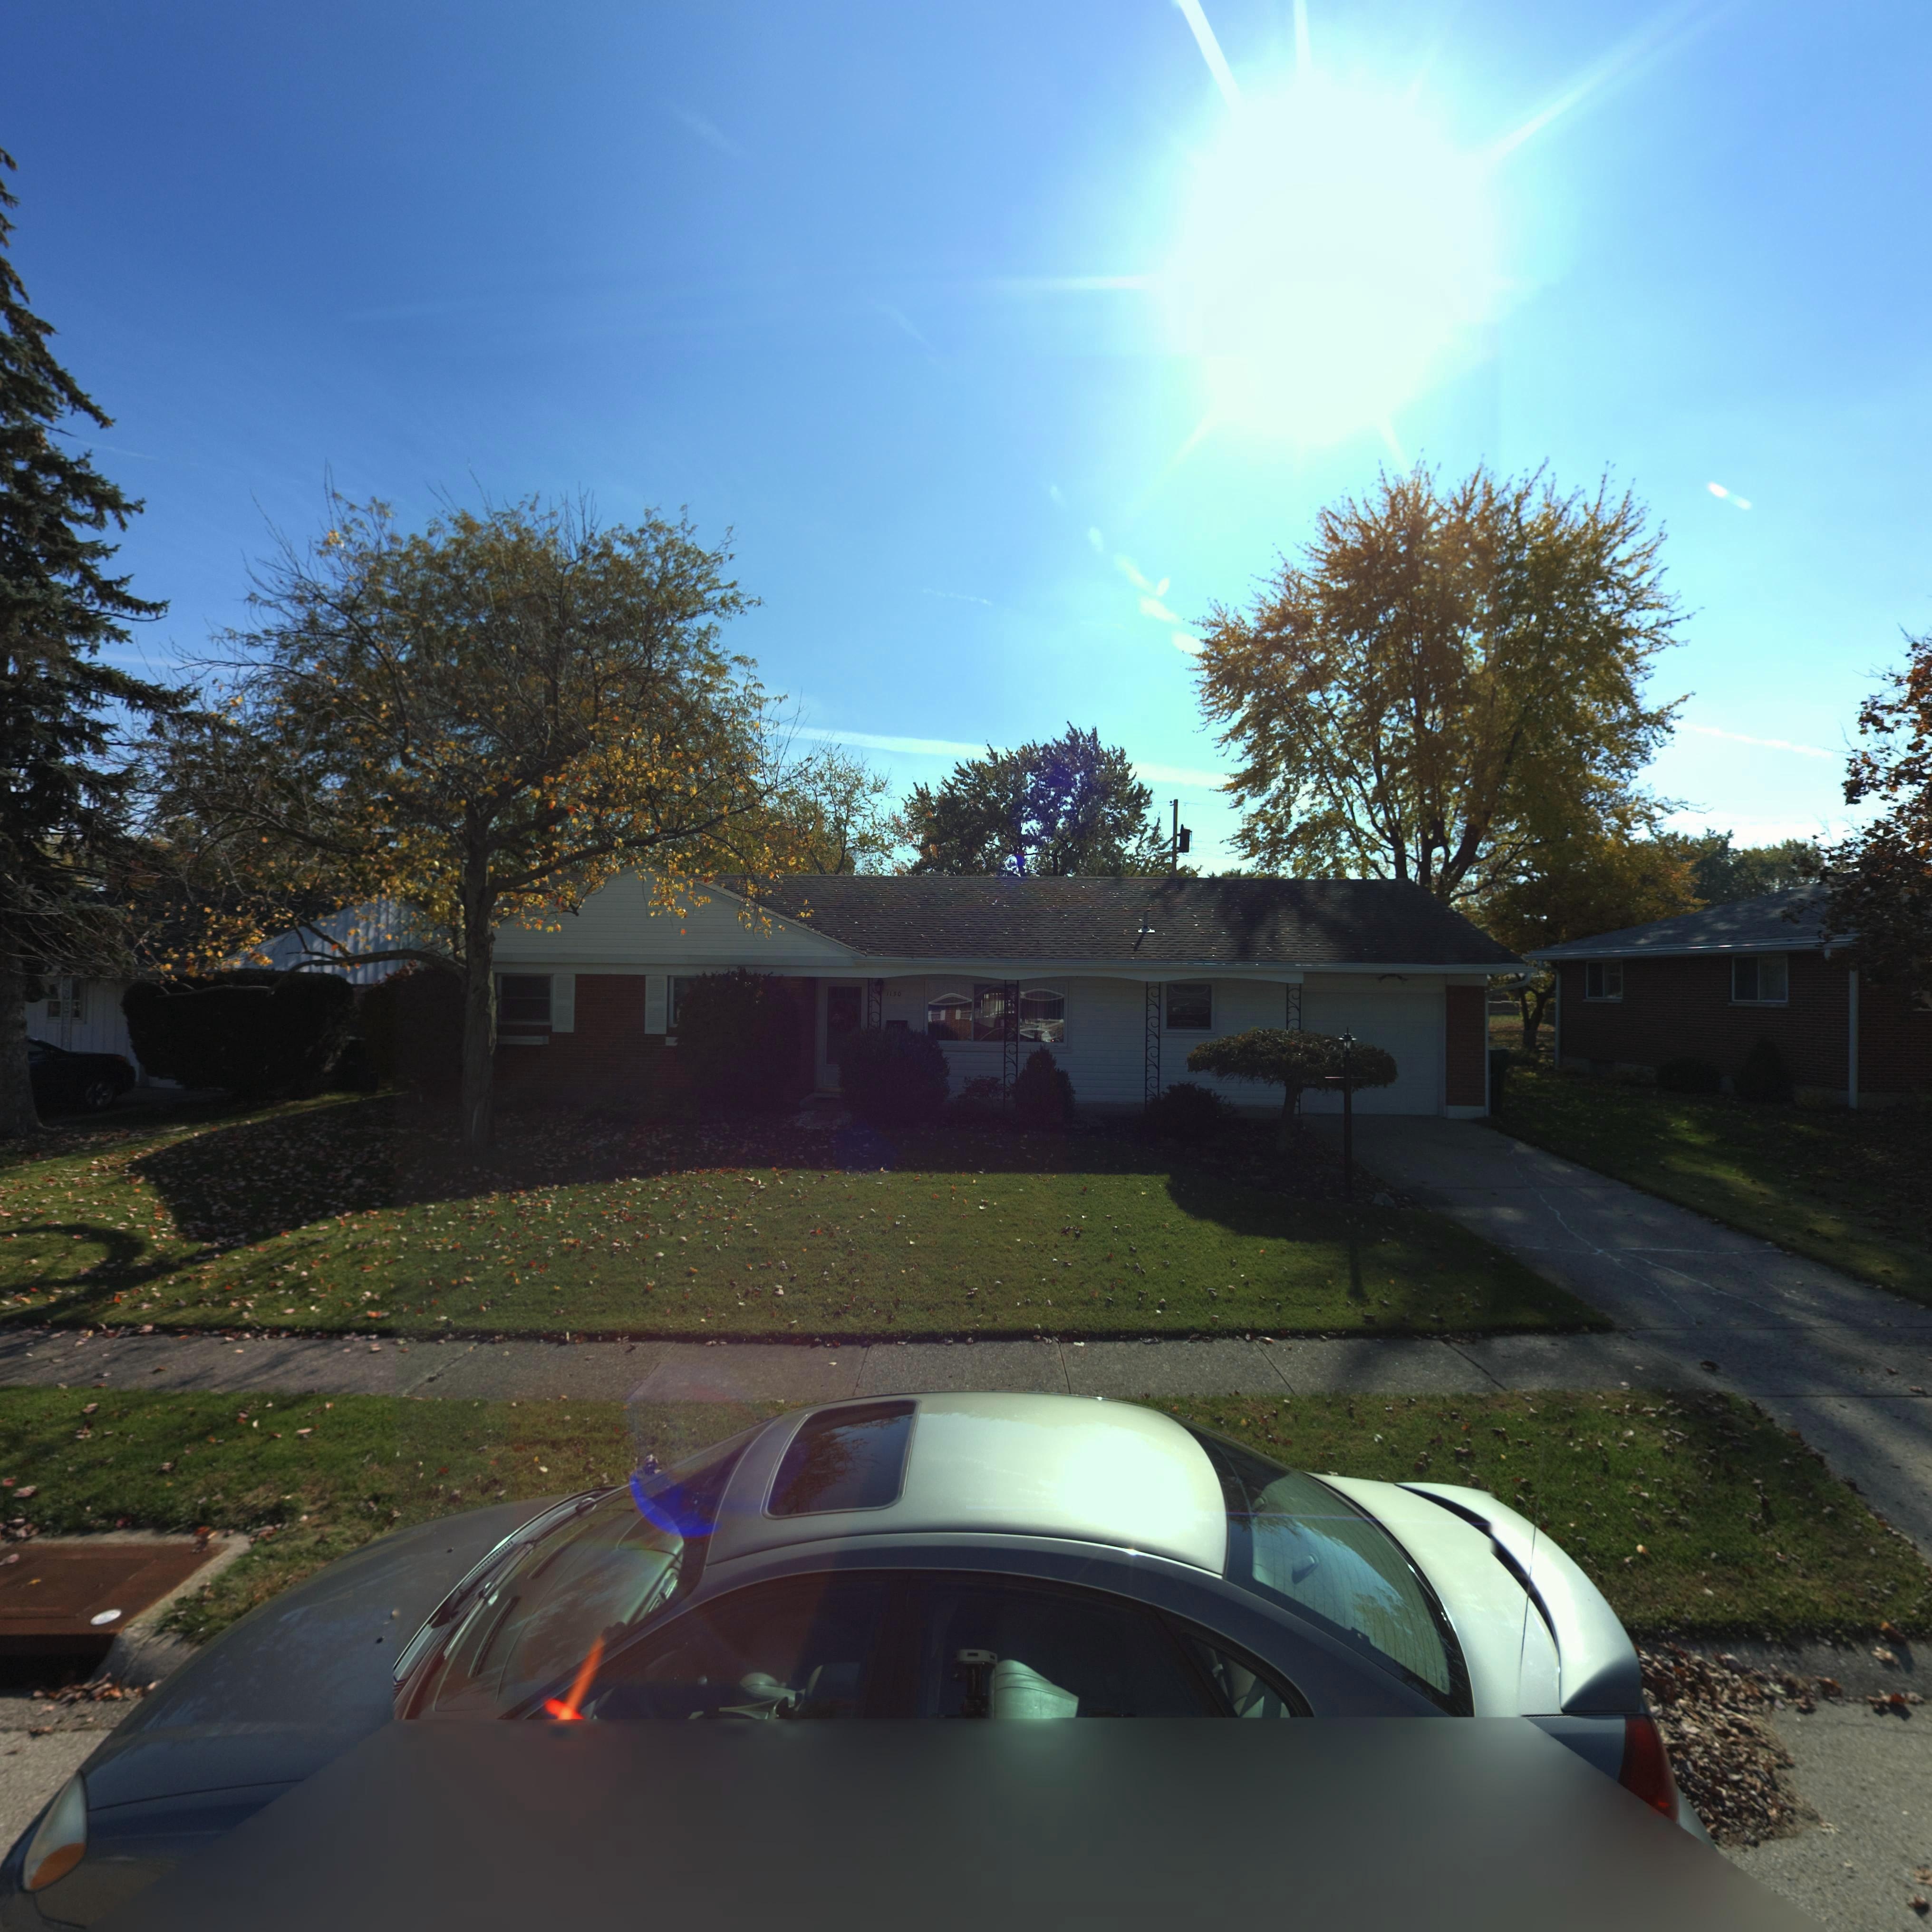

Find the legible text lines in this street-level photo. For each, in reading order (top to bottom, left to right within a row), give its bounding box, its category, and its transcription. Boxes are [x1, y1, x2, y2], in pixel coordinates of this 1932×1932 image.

[885, 990, 903, 997] StreetNumber: 1130